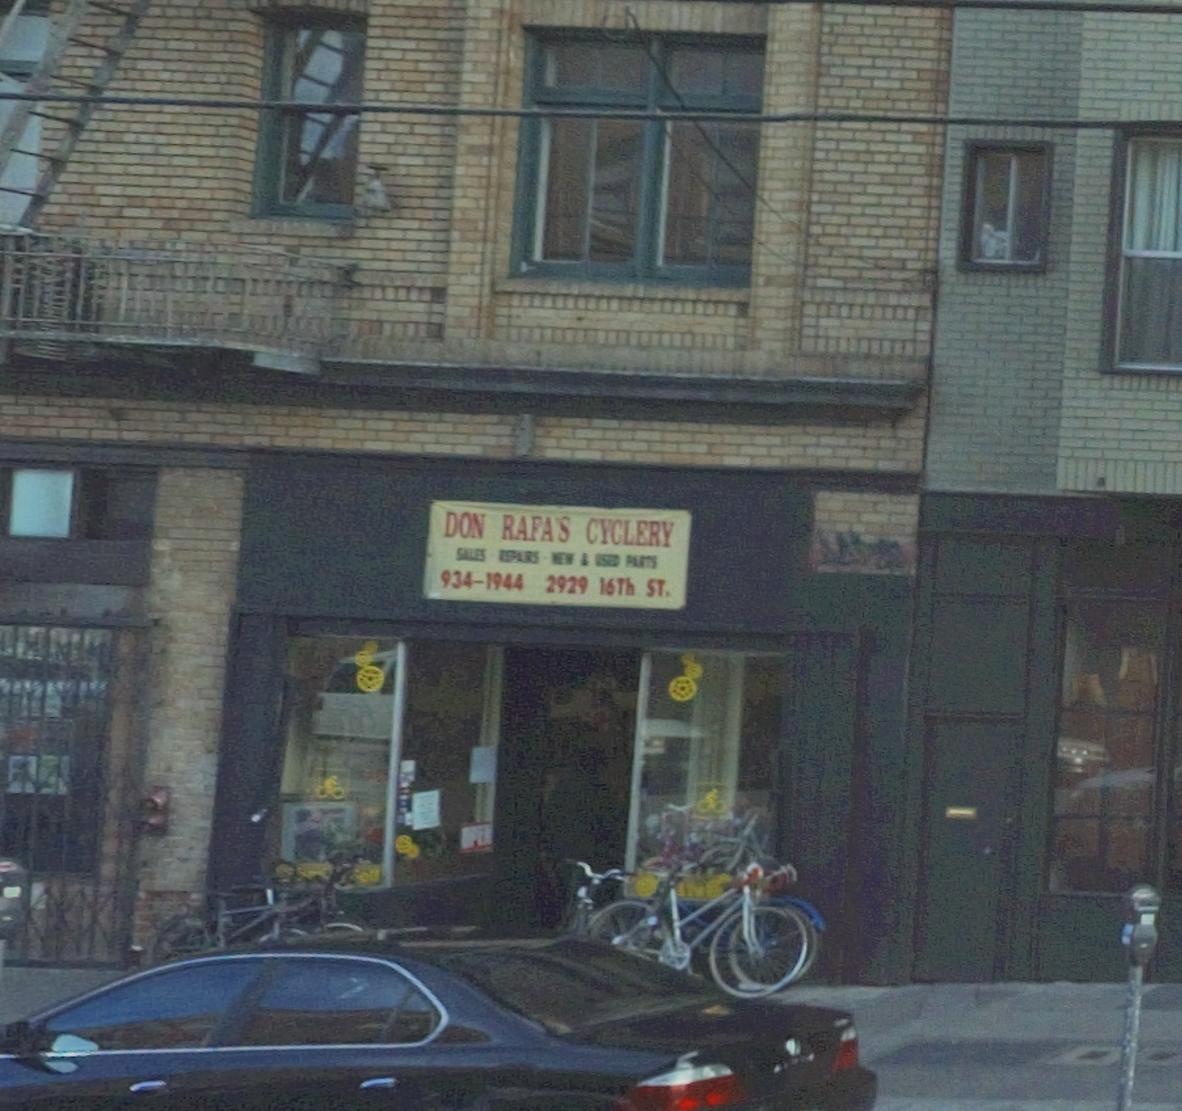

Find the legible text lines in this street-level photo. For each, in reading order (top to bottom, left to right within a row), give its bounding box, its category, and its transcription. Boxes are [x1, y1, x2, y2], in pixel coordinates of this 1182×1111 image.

[440, 507, 680, 551] BusinessName: DON RAFA'S CYCLERY
[453, 543, 661, 572] None: SALES * REPAIRS * NEW & USED PARTS
[436, 565, 528, 594] None: 934-1944
[541, 569, 593, 597] StreetNumber: 2929
[596, 572, 673, 599] StreetName: 16TH ST.